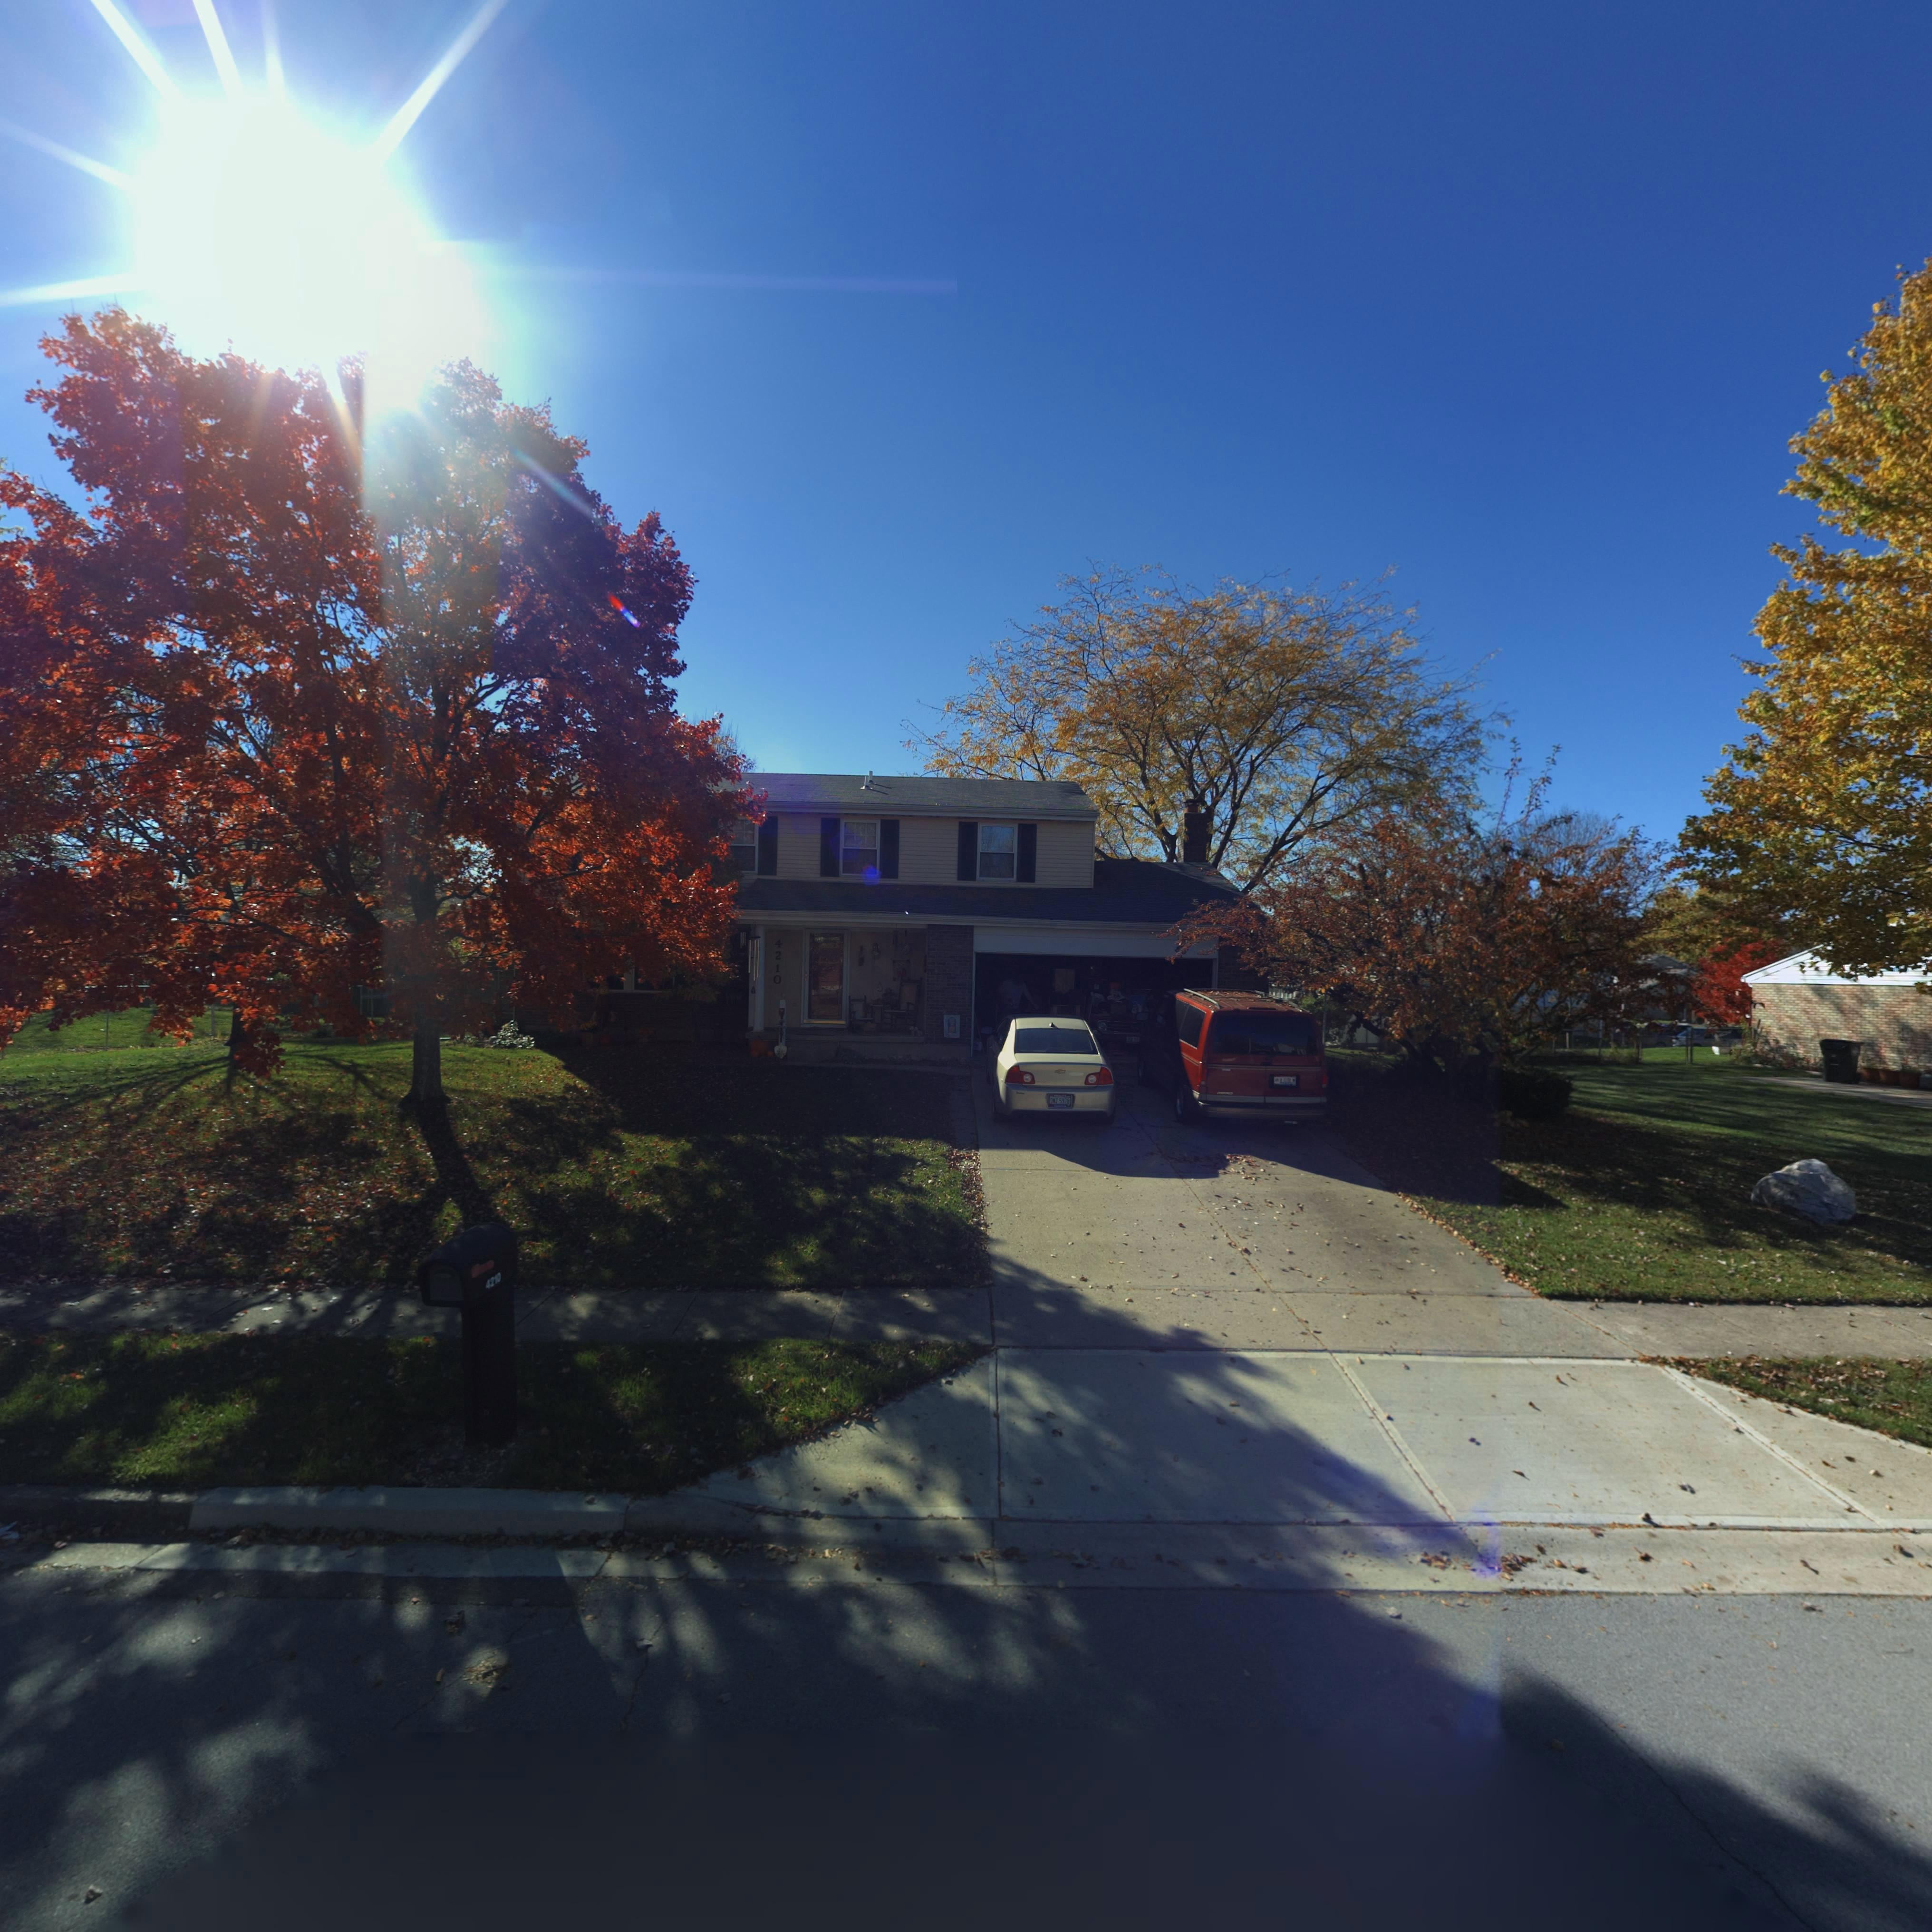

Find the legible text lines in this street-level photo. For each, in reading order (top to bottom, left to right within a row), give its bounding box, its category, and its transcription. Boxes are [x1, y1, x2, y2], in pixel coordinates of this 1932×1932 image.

[773, 937, 783, 985] StreetNumber: 4210
[1279, 1077, 1293, 1084] None: AJ10L
[1049, 1097, 1070, 1104] None: D*Z*5918
[485, 1271, 502, 1291] StreetNumber: 4210